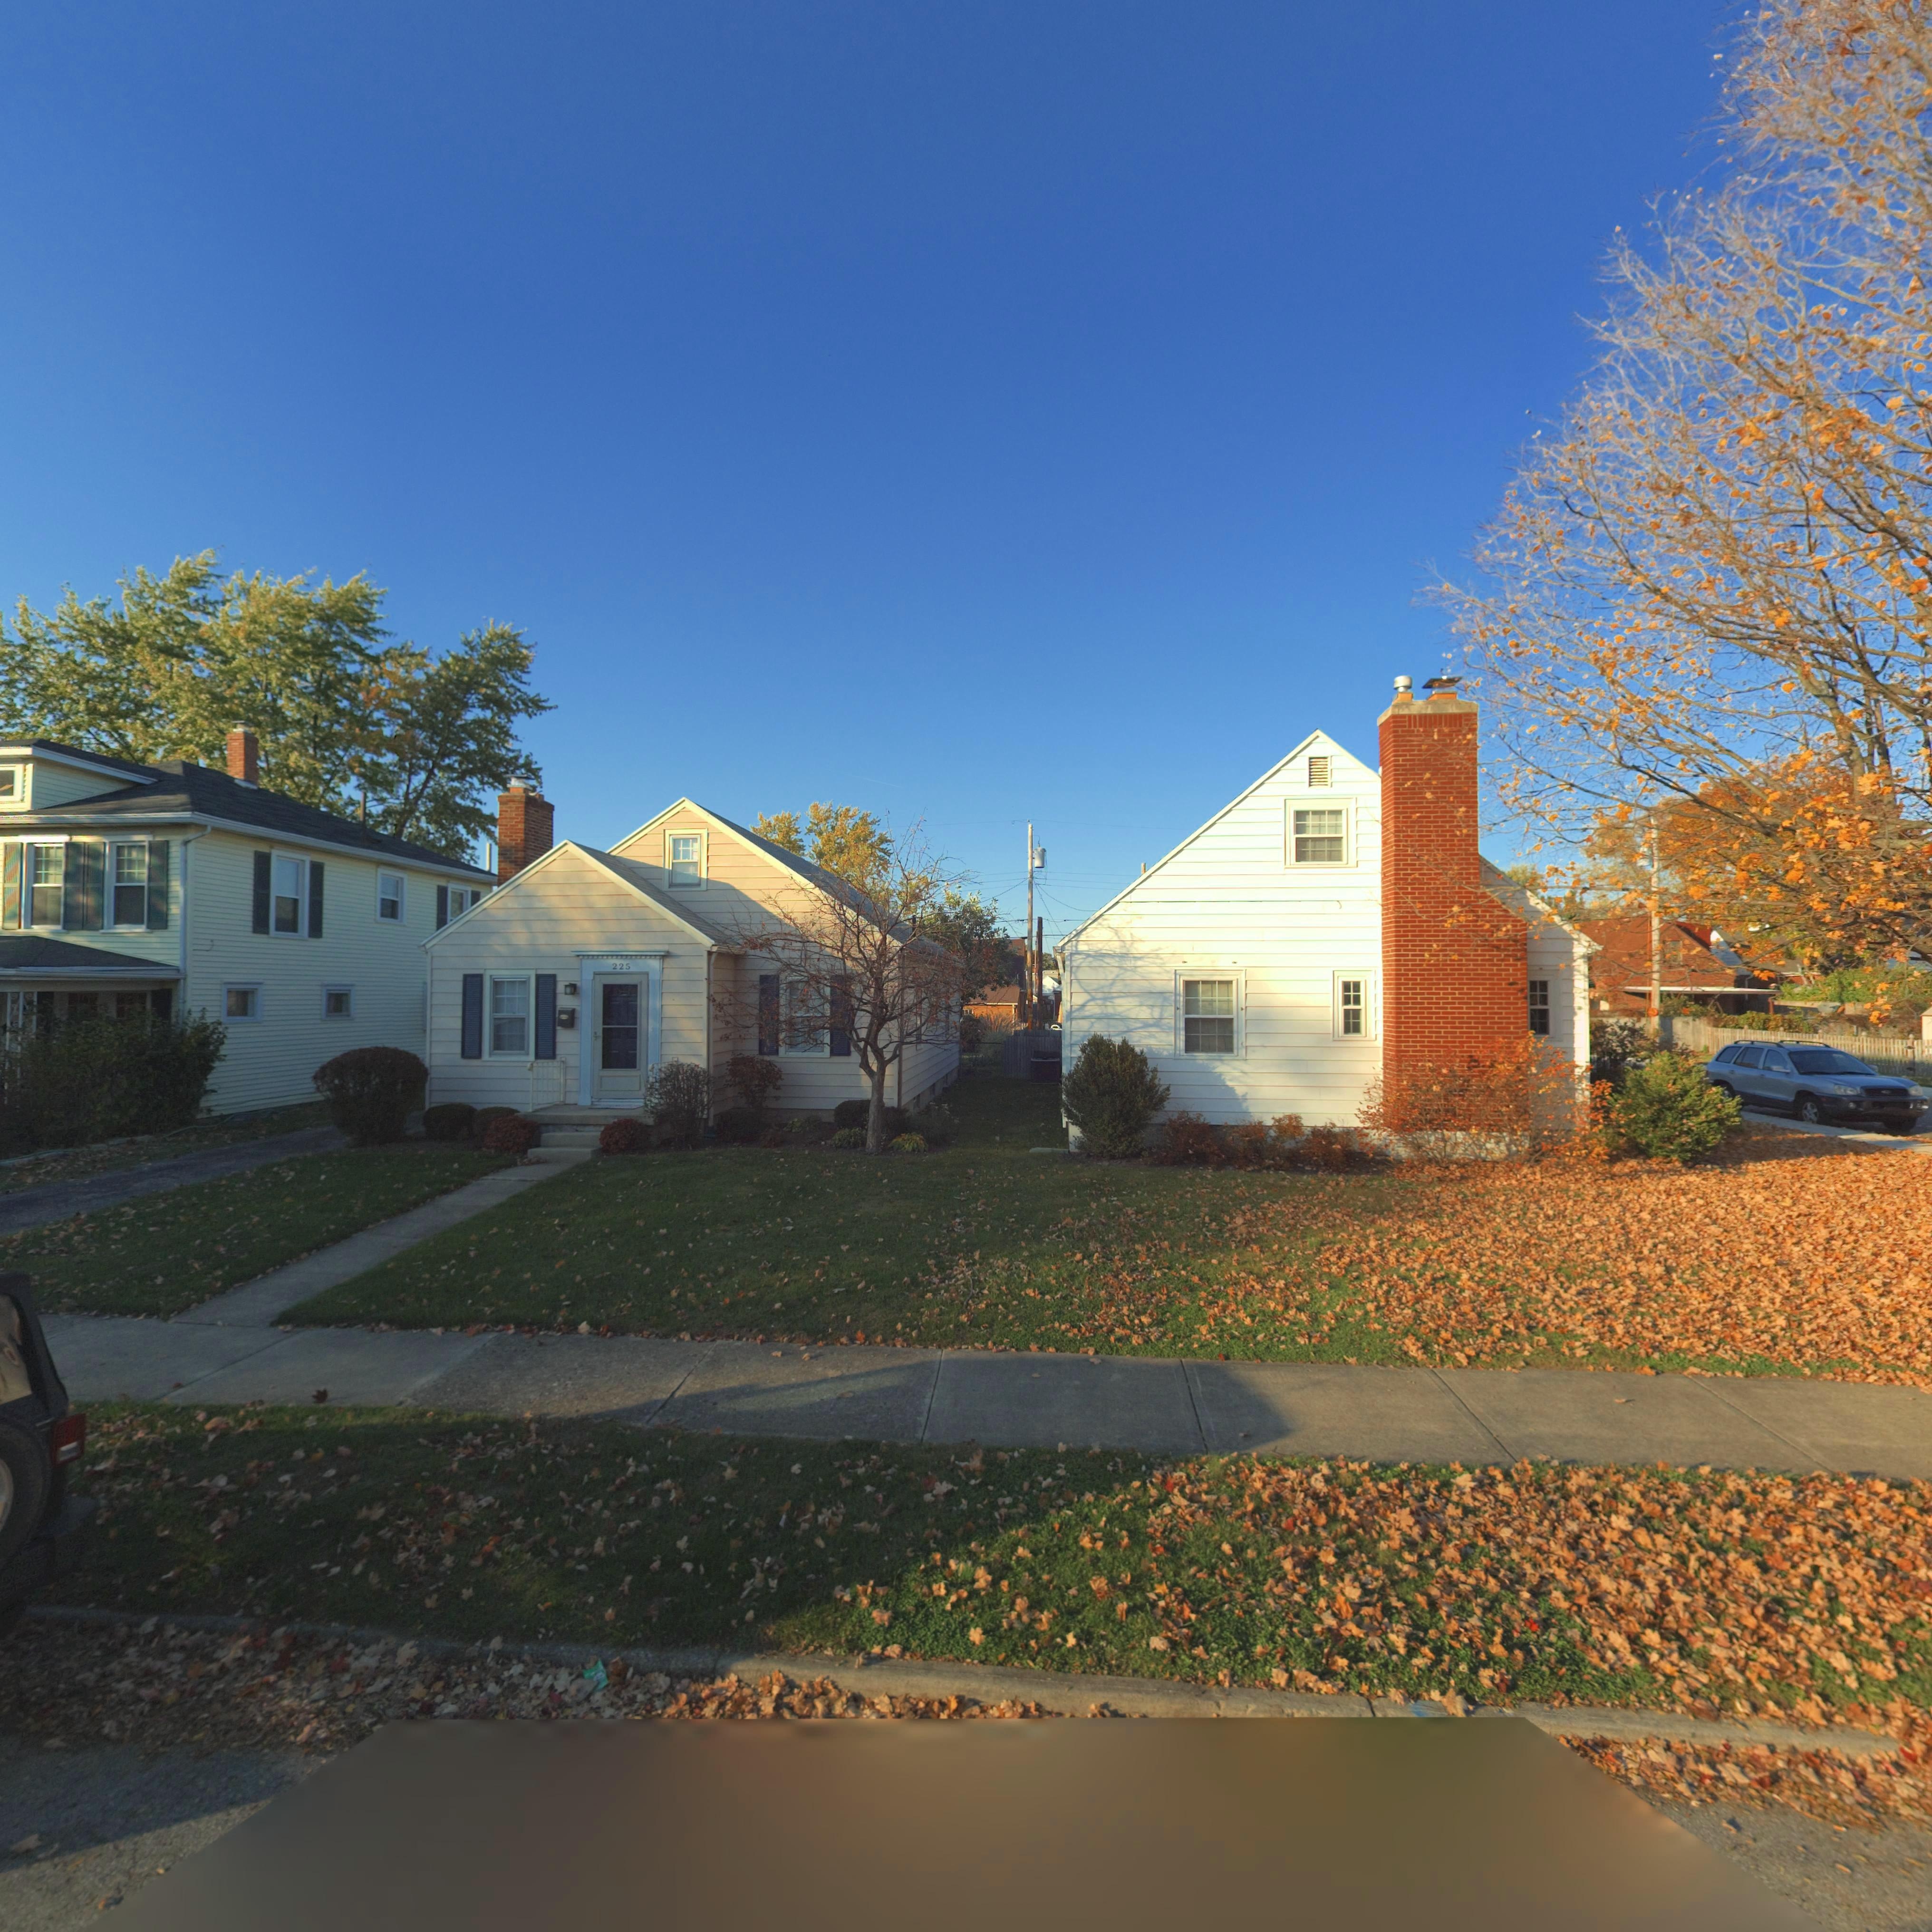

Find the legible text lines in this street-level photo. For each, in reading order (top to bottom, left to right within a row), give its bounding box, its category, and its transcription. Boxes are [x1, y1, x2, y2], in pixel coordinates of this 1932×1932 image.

[612, 963, 630, 970] StreetNumber: 225